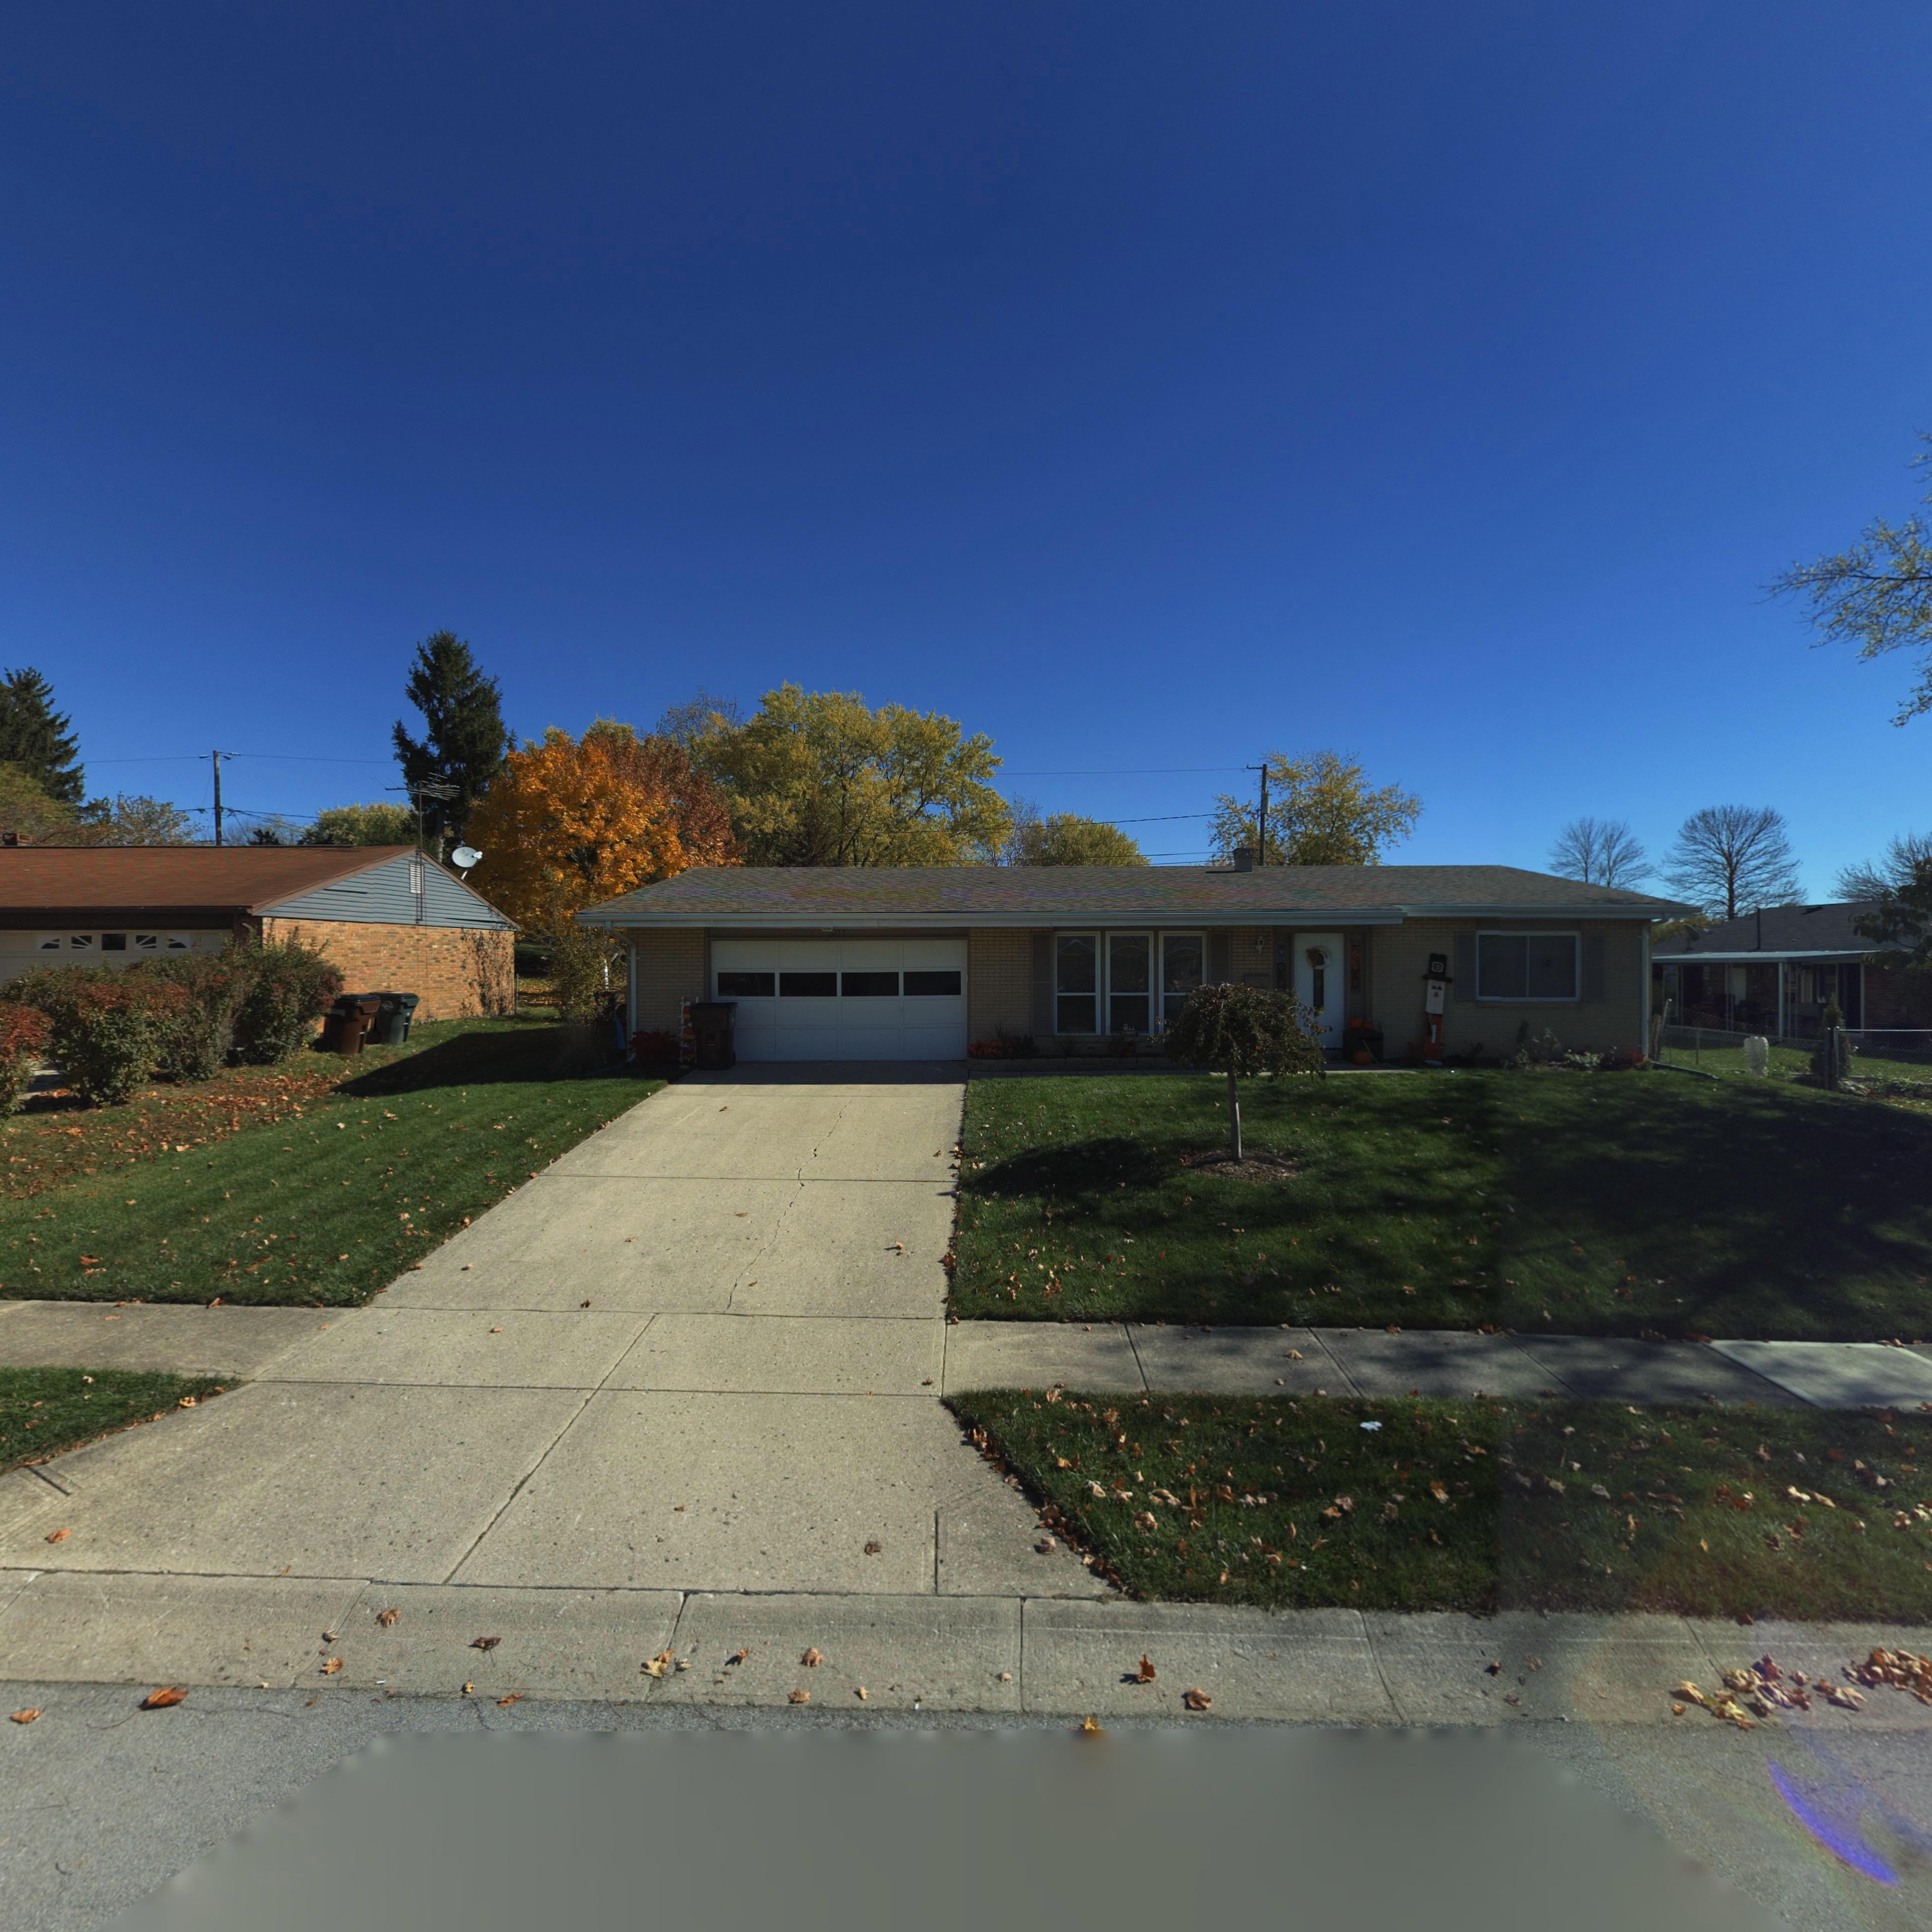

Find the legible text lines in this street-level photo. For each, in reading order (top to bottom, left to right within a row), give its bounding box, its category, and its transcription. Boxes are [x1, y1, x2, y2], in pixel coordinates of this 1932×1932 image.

[90, 918, 107, 926] StreetNumber: 30
[829, 929, 847, 937] StreetNumber: *03